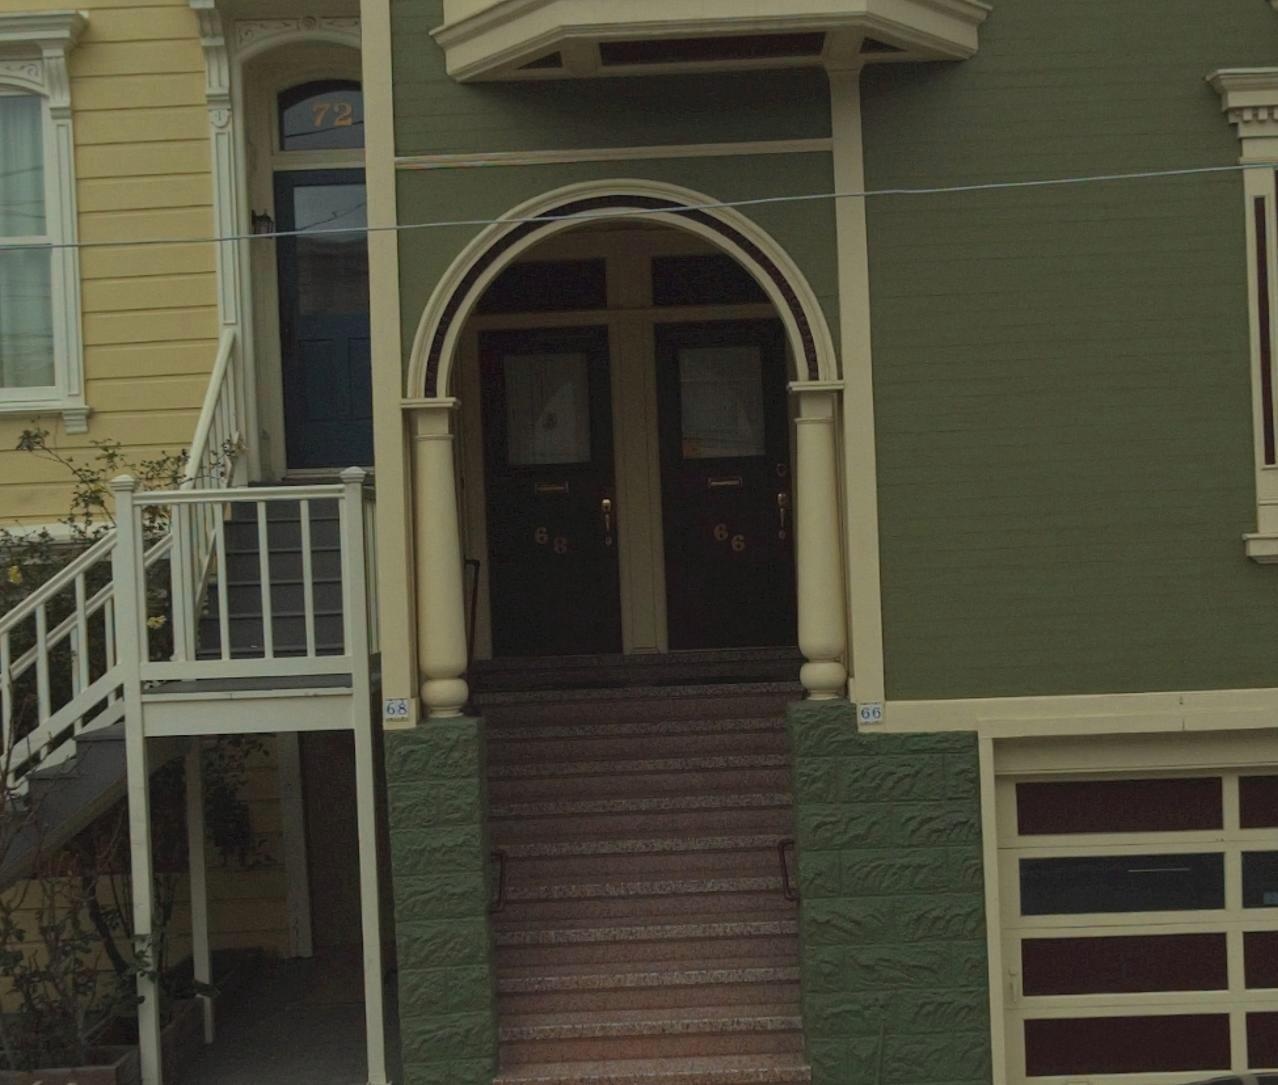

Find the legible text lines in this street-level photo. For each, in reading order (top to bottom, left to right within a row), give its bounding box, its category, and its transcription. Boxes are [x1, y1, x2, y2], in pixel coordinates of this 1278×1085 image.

[311, 100, 355, 128] StreetNumber: 72
[533, 525, 569, 557] StreetNumber: 68
[711, 521, 748, 555] StreetNumber: 66
[385, 700, 408, 716] StreetNumber: 68
[860, 705, 883, 721] StreetNumber: 66